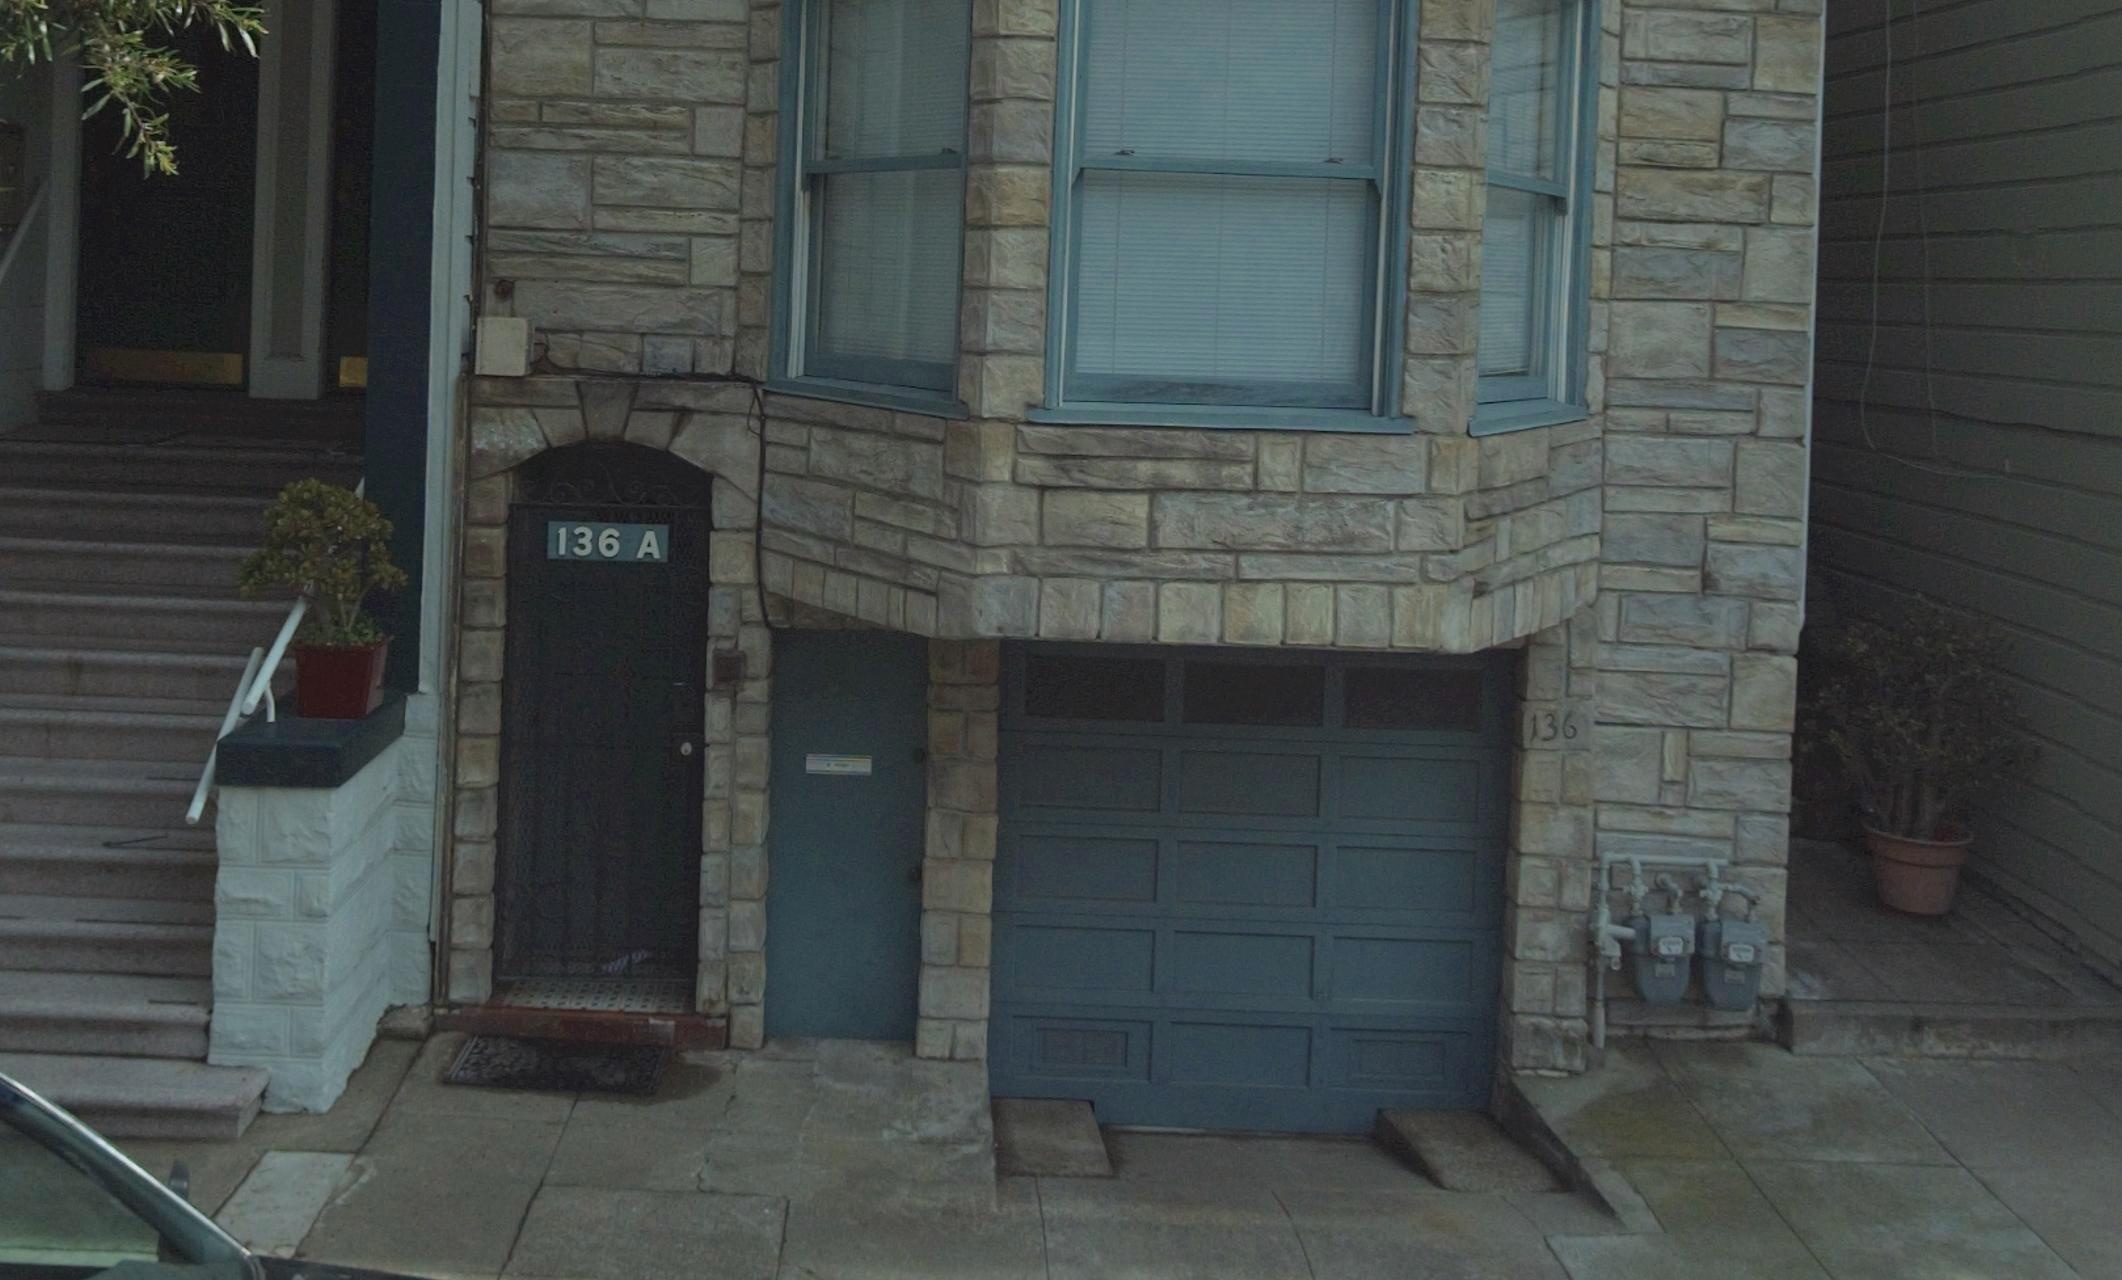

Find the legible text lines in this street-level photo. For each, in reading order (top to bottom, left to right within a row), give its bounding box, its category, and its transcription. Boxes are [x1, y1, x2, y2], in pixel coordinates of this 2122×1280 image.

[555, 524, 665, 562] StreetNumber: 136 A
[1528, 710, 1581, 745] StreetNumber: 136